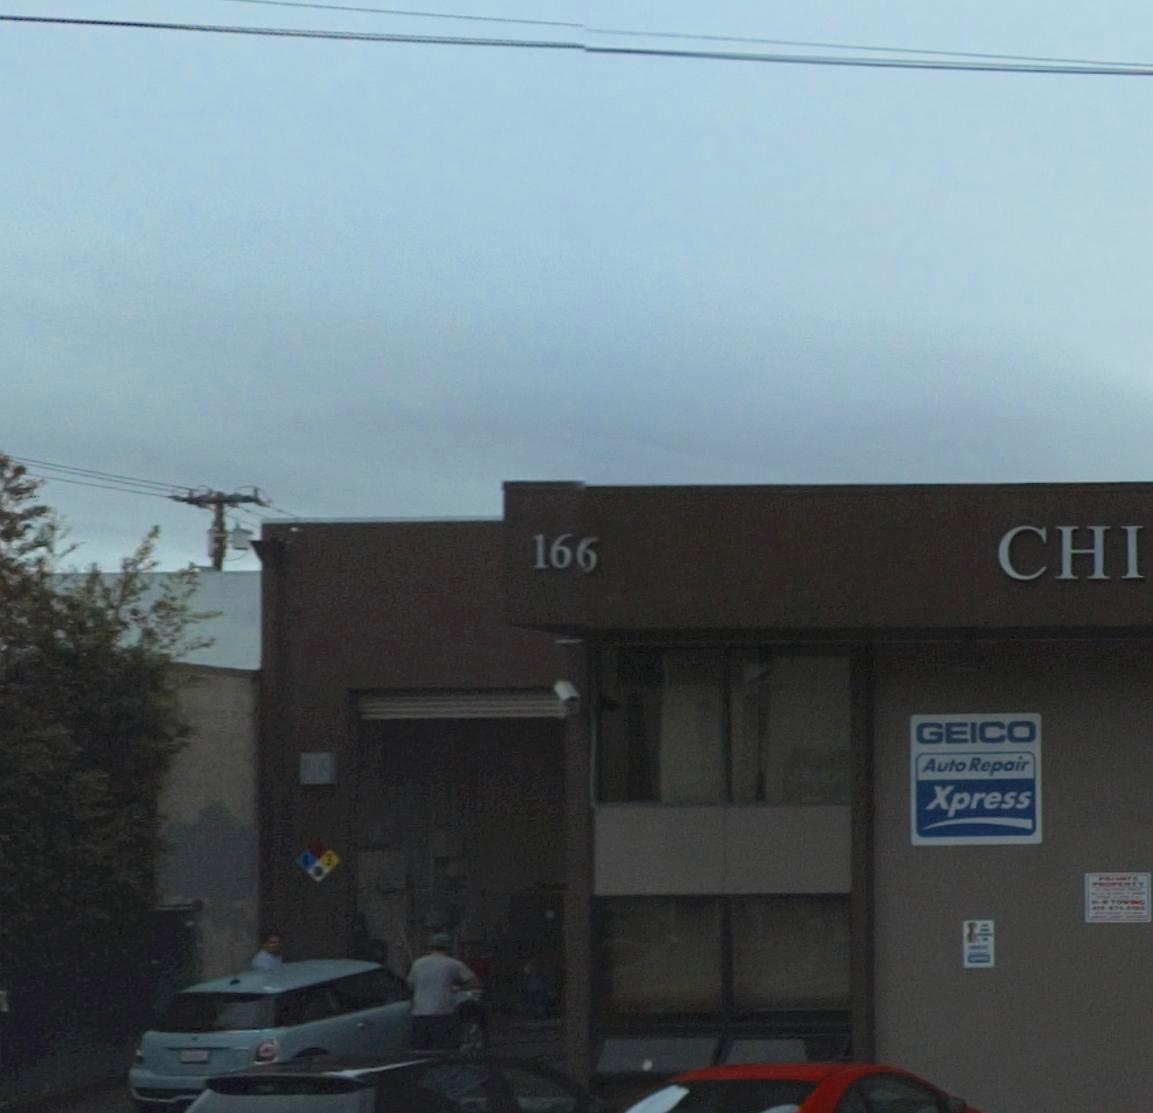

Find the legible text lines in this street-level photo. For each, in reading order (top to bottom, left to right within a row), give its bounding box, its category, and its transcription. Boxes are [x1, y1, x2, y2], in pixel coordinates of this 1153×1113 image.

[529, 531, 604, 572] StreetNumber: 166
[997, 521, 1147, 583] BusinessName: CHI
[915, 719, 1038, 745] None: GEICO
[921, 757, 1030, 777] None: AutoRepair
[925, 783, 1033, 820] None: Xpress
[301, 854, 309, 867] None: 4
[324, 852, 332, 867] None: 3